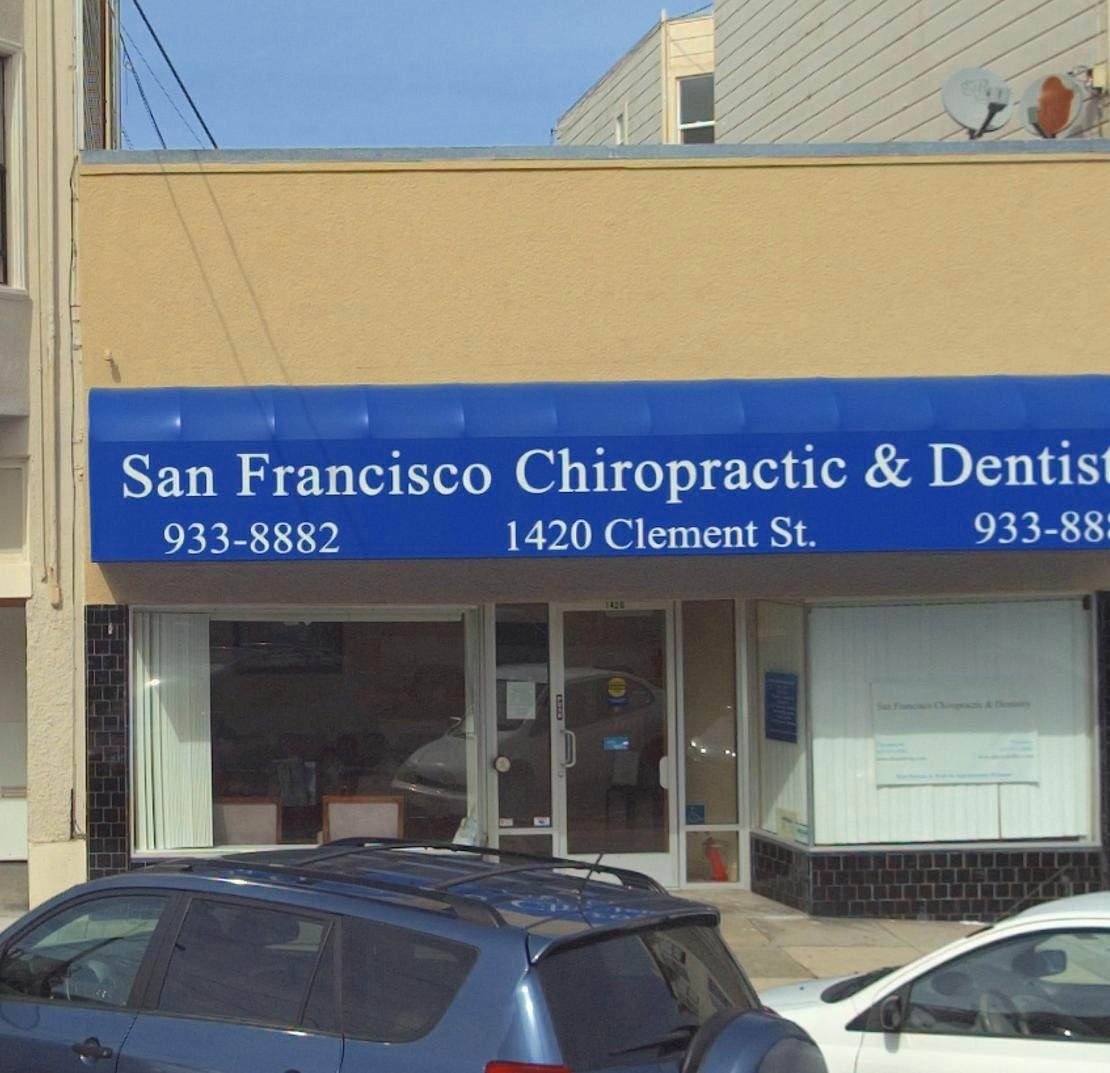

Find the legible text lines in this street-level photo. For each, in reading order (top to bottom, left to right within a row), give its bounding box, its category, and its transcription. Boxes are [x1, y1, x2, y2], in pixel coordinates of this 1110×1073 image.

[119, 438, 1102, 505] BusinessName: San Francisco Chiropractic & Dentis
[161, 520, 341, 555] None: 933-8882
[506, 517, 593, 553] StreetNumber: 1420
[603, 515, 817, 550] StreetName: Clement St.
[972, 510, 1105, 545] None: 933-88
[603, 601, 626, 610] StreetNumber: 1420